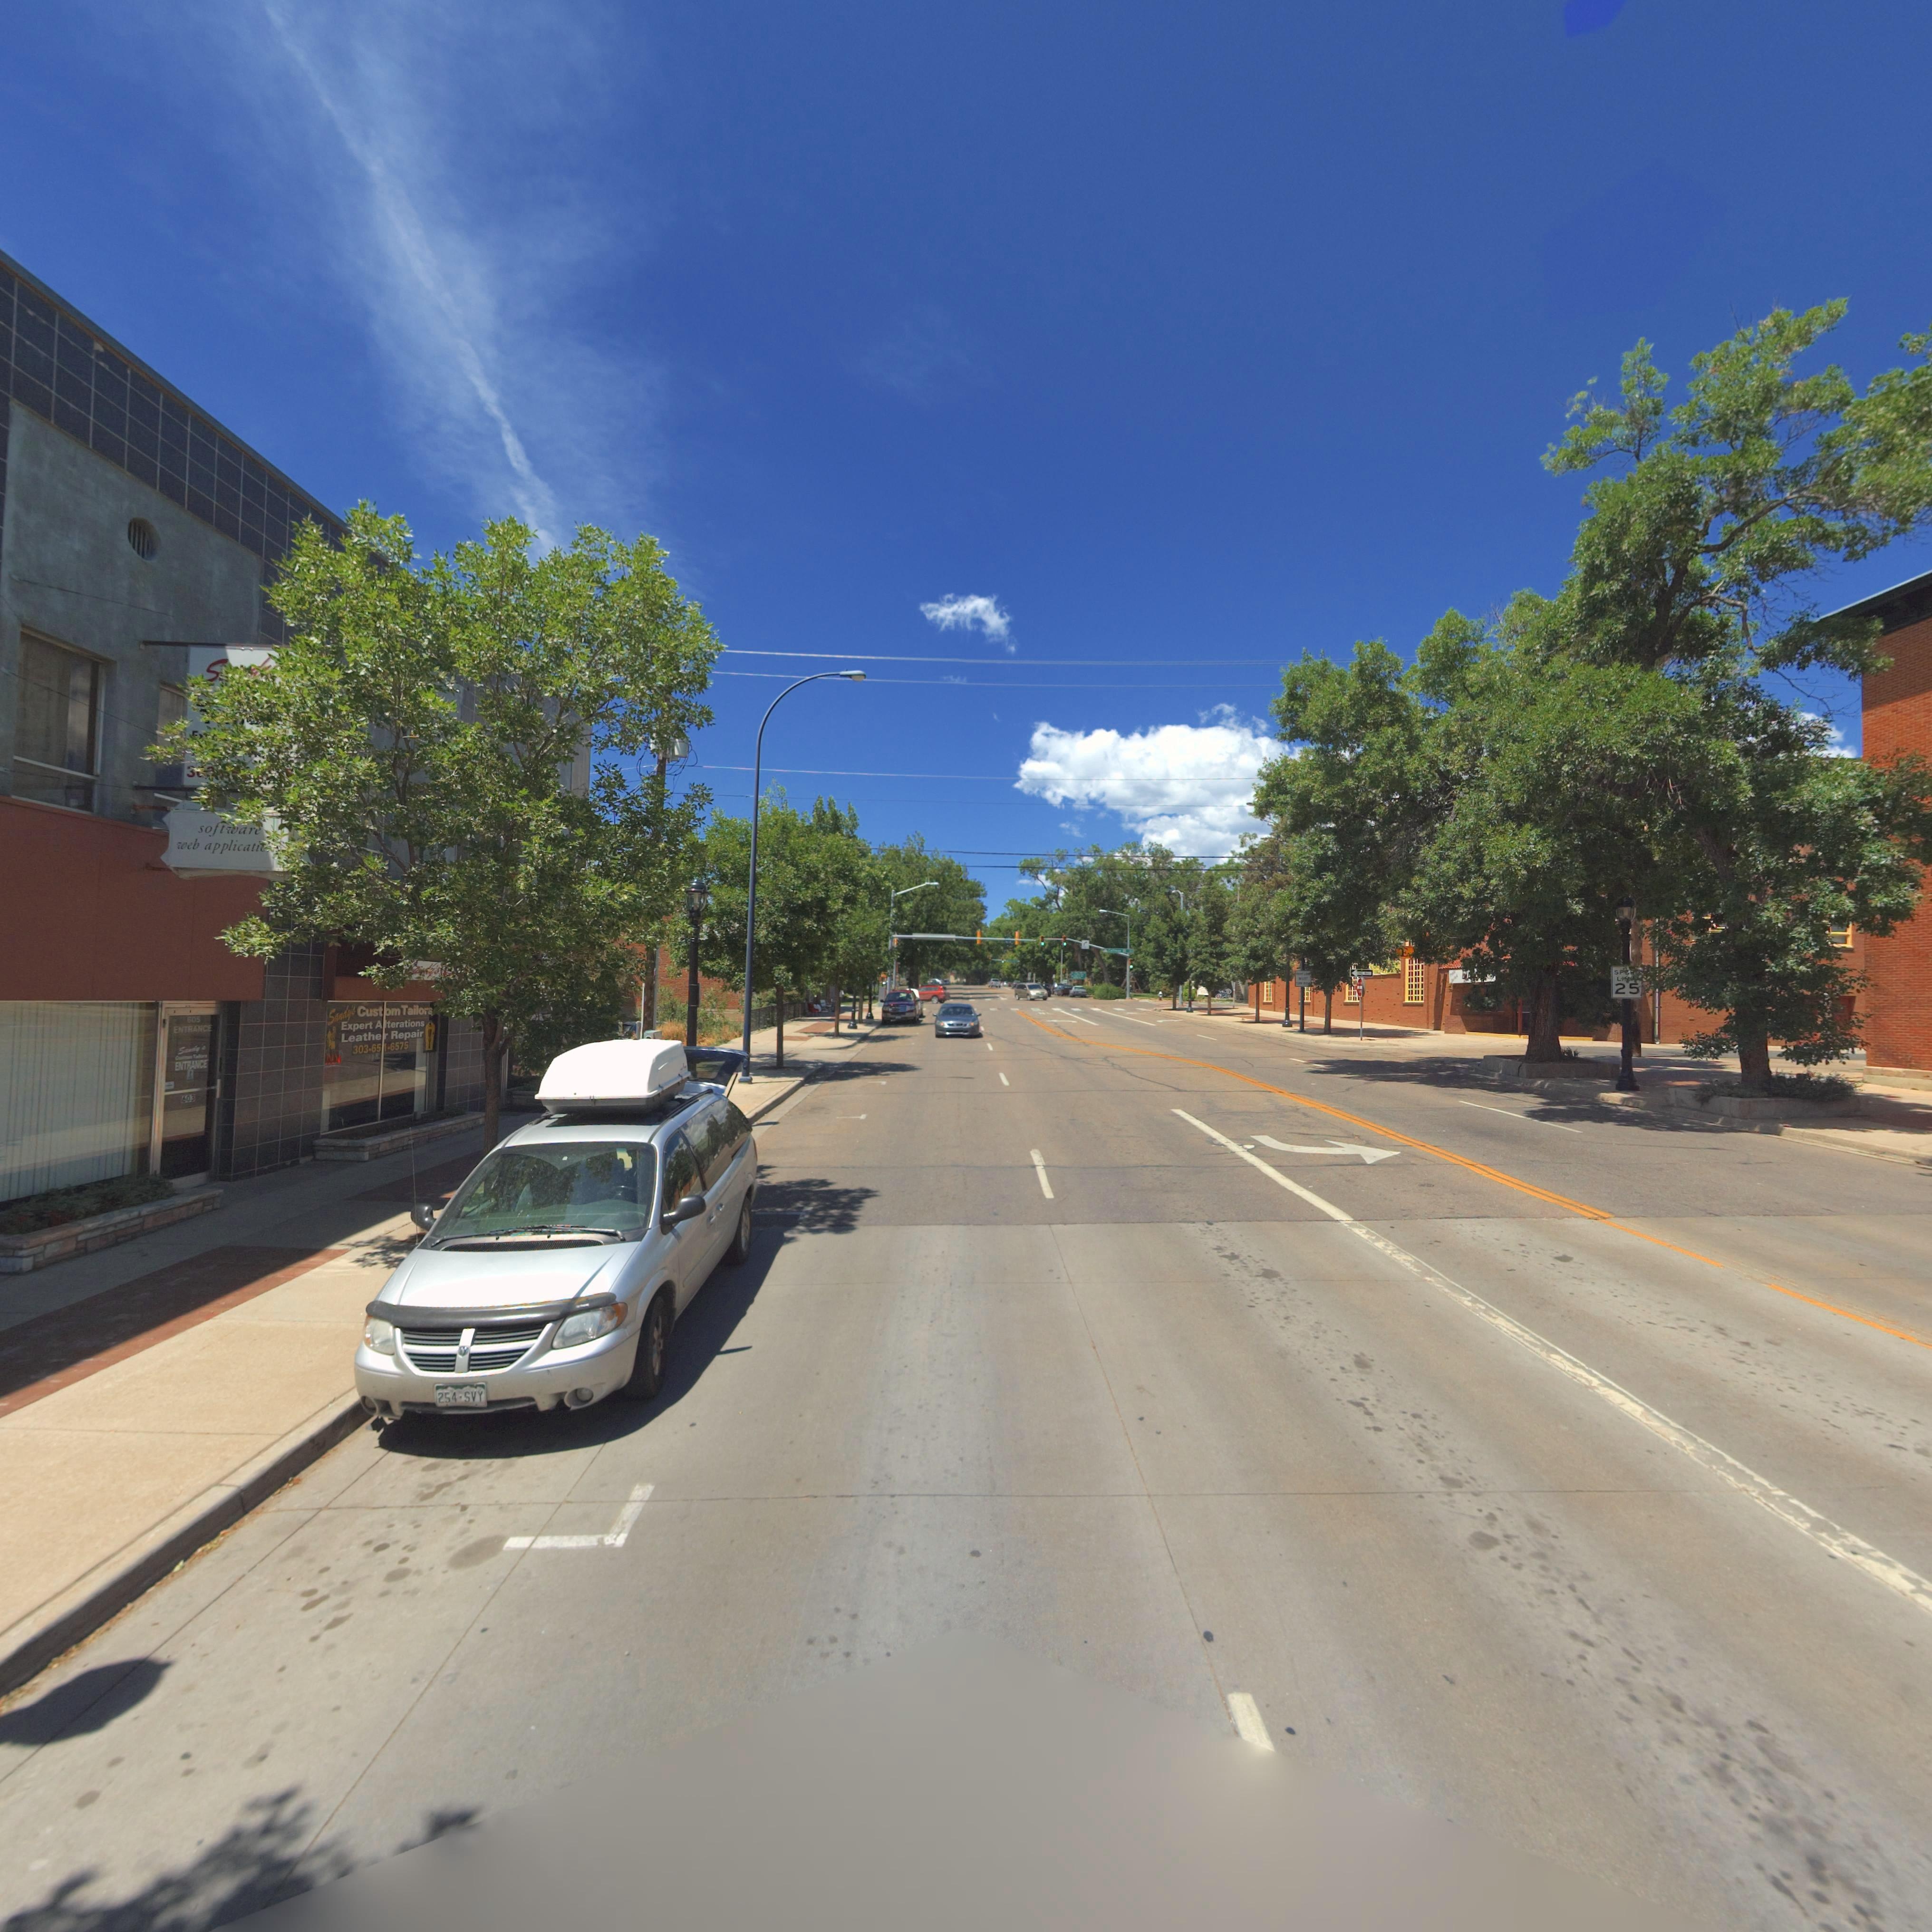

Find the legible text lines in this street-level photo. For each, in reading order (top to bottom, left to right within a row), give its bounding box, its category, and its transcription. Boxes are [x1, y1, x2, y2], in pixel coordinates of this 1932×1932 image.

[205, 658, 229, 683] BusinessName: S
[1108, 948, 1121, 952] StreetName: Coffm**
[1400, 947, 1408, 956] BusinessName: E
[185, 1015, 202, 1024] StreetNumber: 605
[328, 1003, 356, 1027] BusinessName: Sandy's
[357, 1004, 433, 1017] BusinessName: Custom Tailors
[176, 1043, 209, 1055] BusinessName: Sandy's
[181, 1093, 196, 1104] StreetNumber: 603